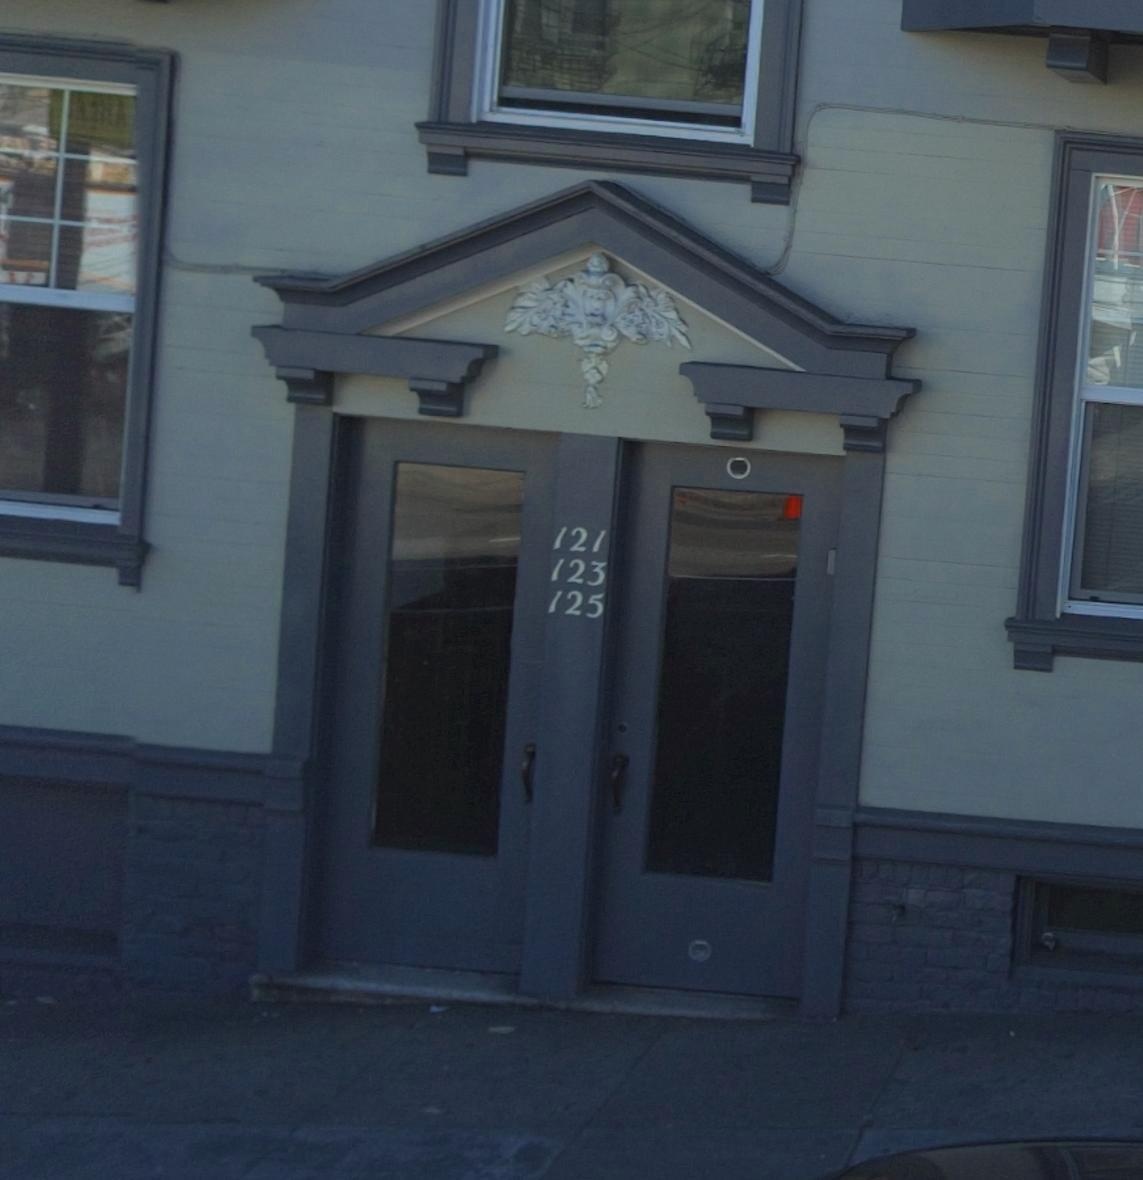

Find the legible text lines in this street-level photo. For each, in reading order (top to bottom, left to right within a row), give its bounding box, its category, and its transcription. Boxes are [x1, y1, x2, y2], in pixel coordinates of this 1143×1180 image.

[546, 524, 612, 555] StreetNumber: 121
[548, 554, 610, 588] StreetNumber: 123
[545, 587, 606, 620] StreetNumber: 125